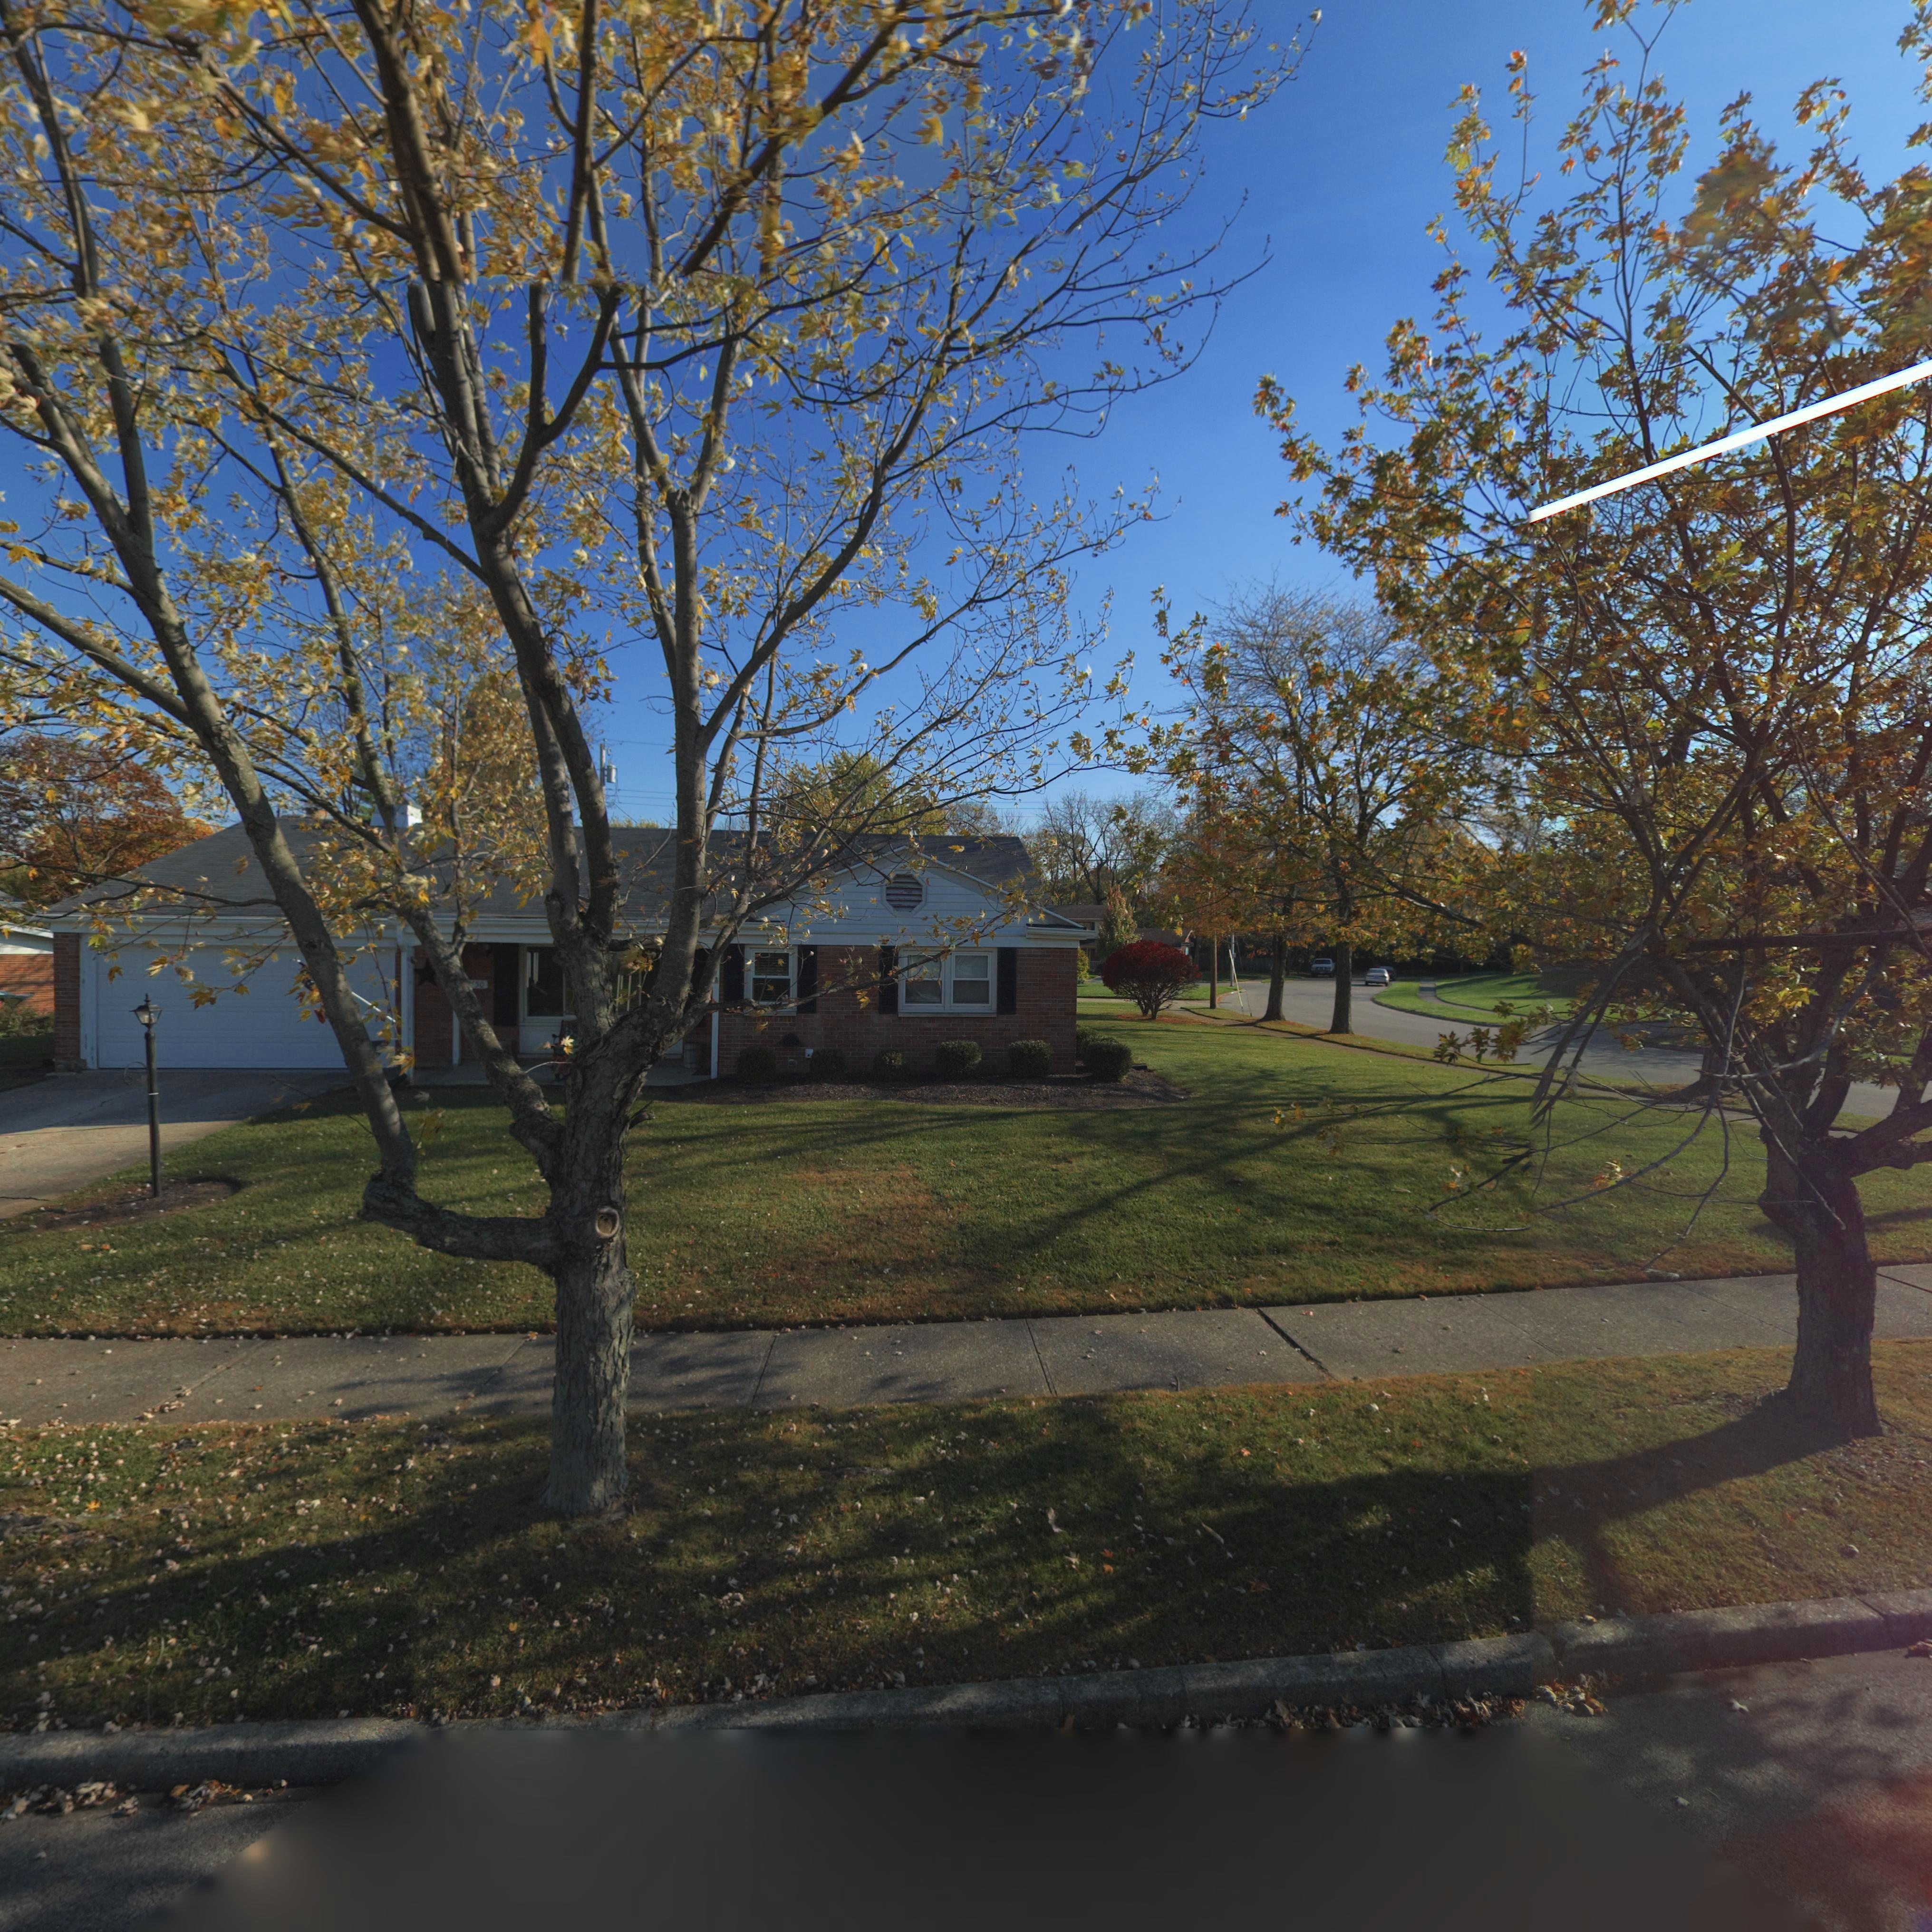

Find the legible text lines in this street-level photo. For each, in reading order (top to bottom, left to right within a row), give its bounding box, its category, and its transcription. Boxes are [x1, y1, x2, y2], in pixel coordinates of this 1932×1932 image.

[473, 981, 484, 988] StreetNumber: 50